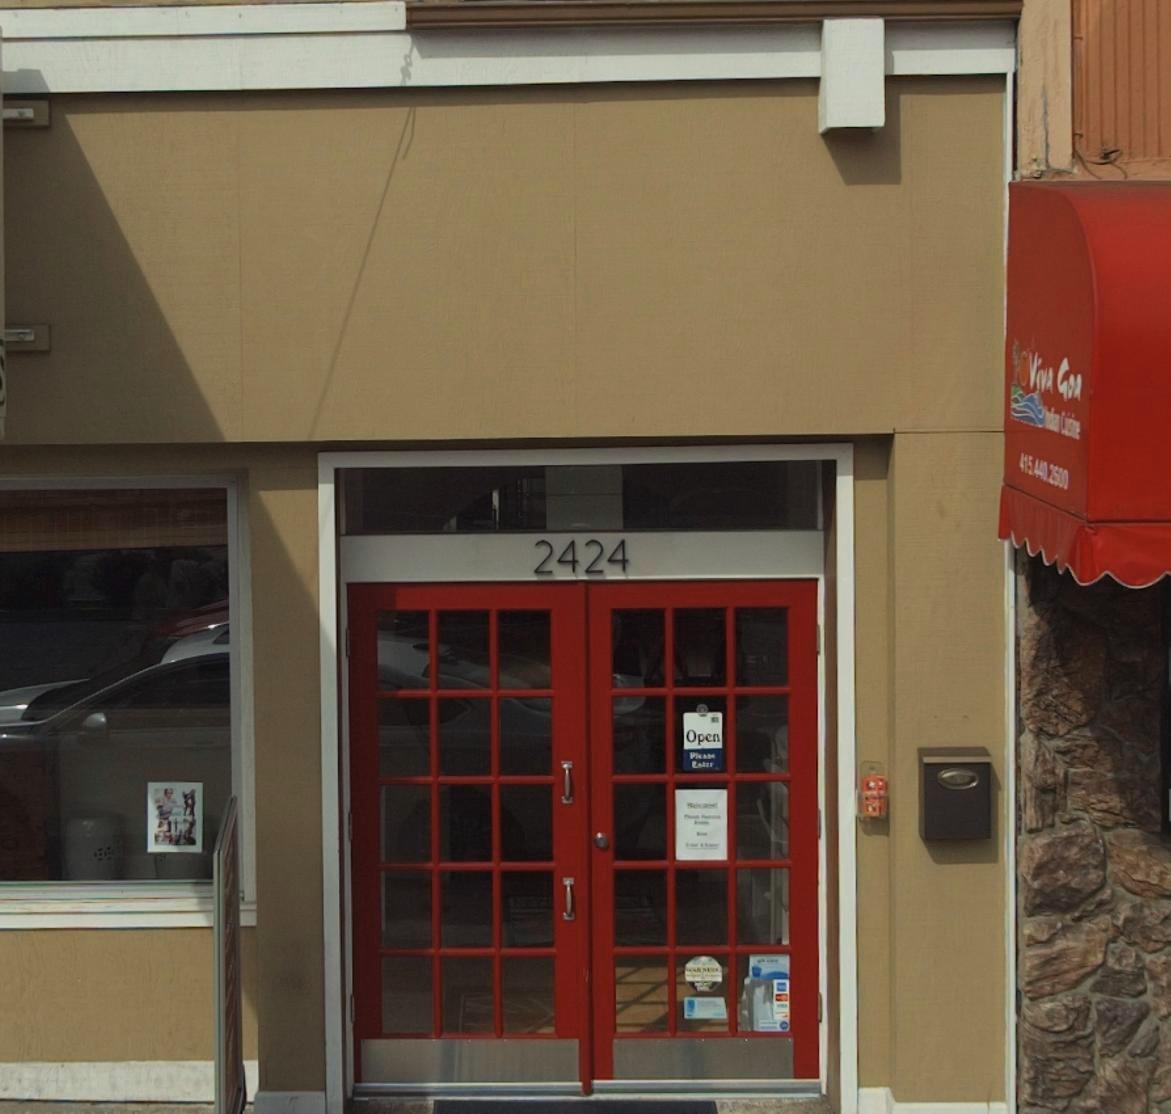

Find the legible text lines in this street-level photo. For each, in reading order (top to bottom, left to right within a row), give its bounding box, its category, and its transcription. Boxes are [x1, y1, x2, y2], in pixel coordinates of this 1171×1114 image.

[1028, 350, 1083, 402] BusinessName: Viva Goa
[1044, 405, 1081, 441] None: Indian Cuisine
[1019, 452, 1069, 492] None: 415.44*.2500
[533, 539, 630, 574] StreetNumber: 2424
[686, 729, 720, 745] None: Open
[689, 751, 716, 760] None: Please\
[691, 760, 715, 769] None: Enter